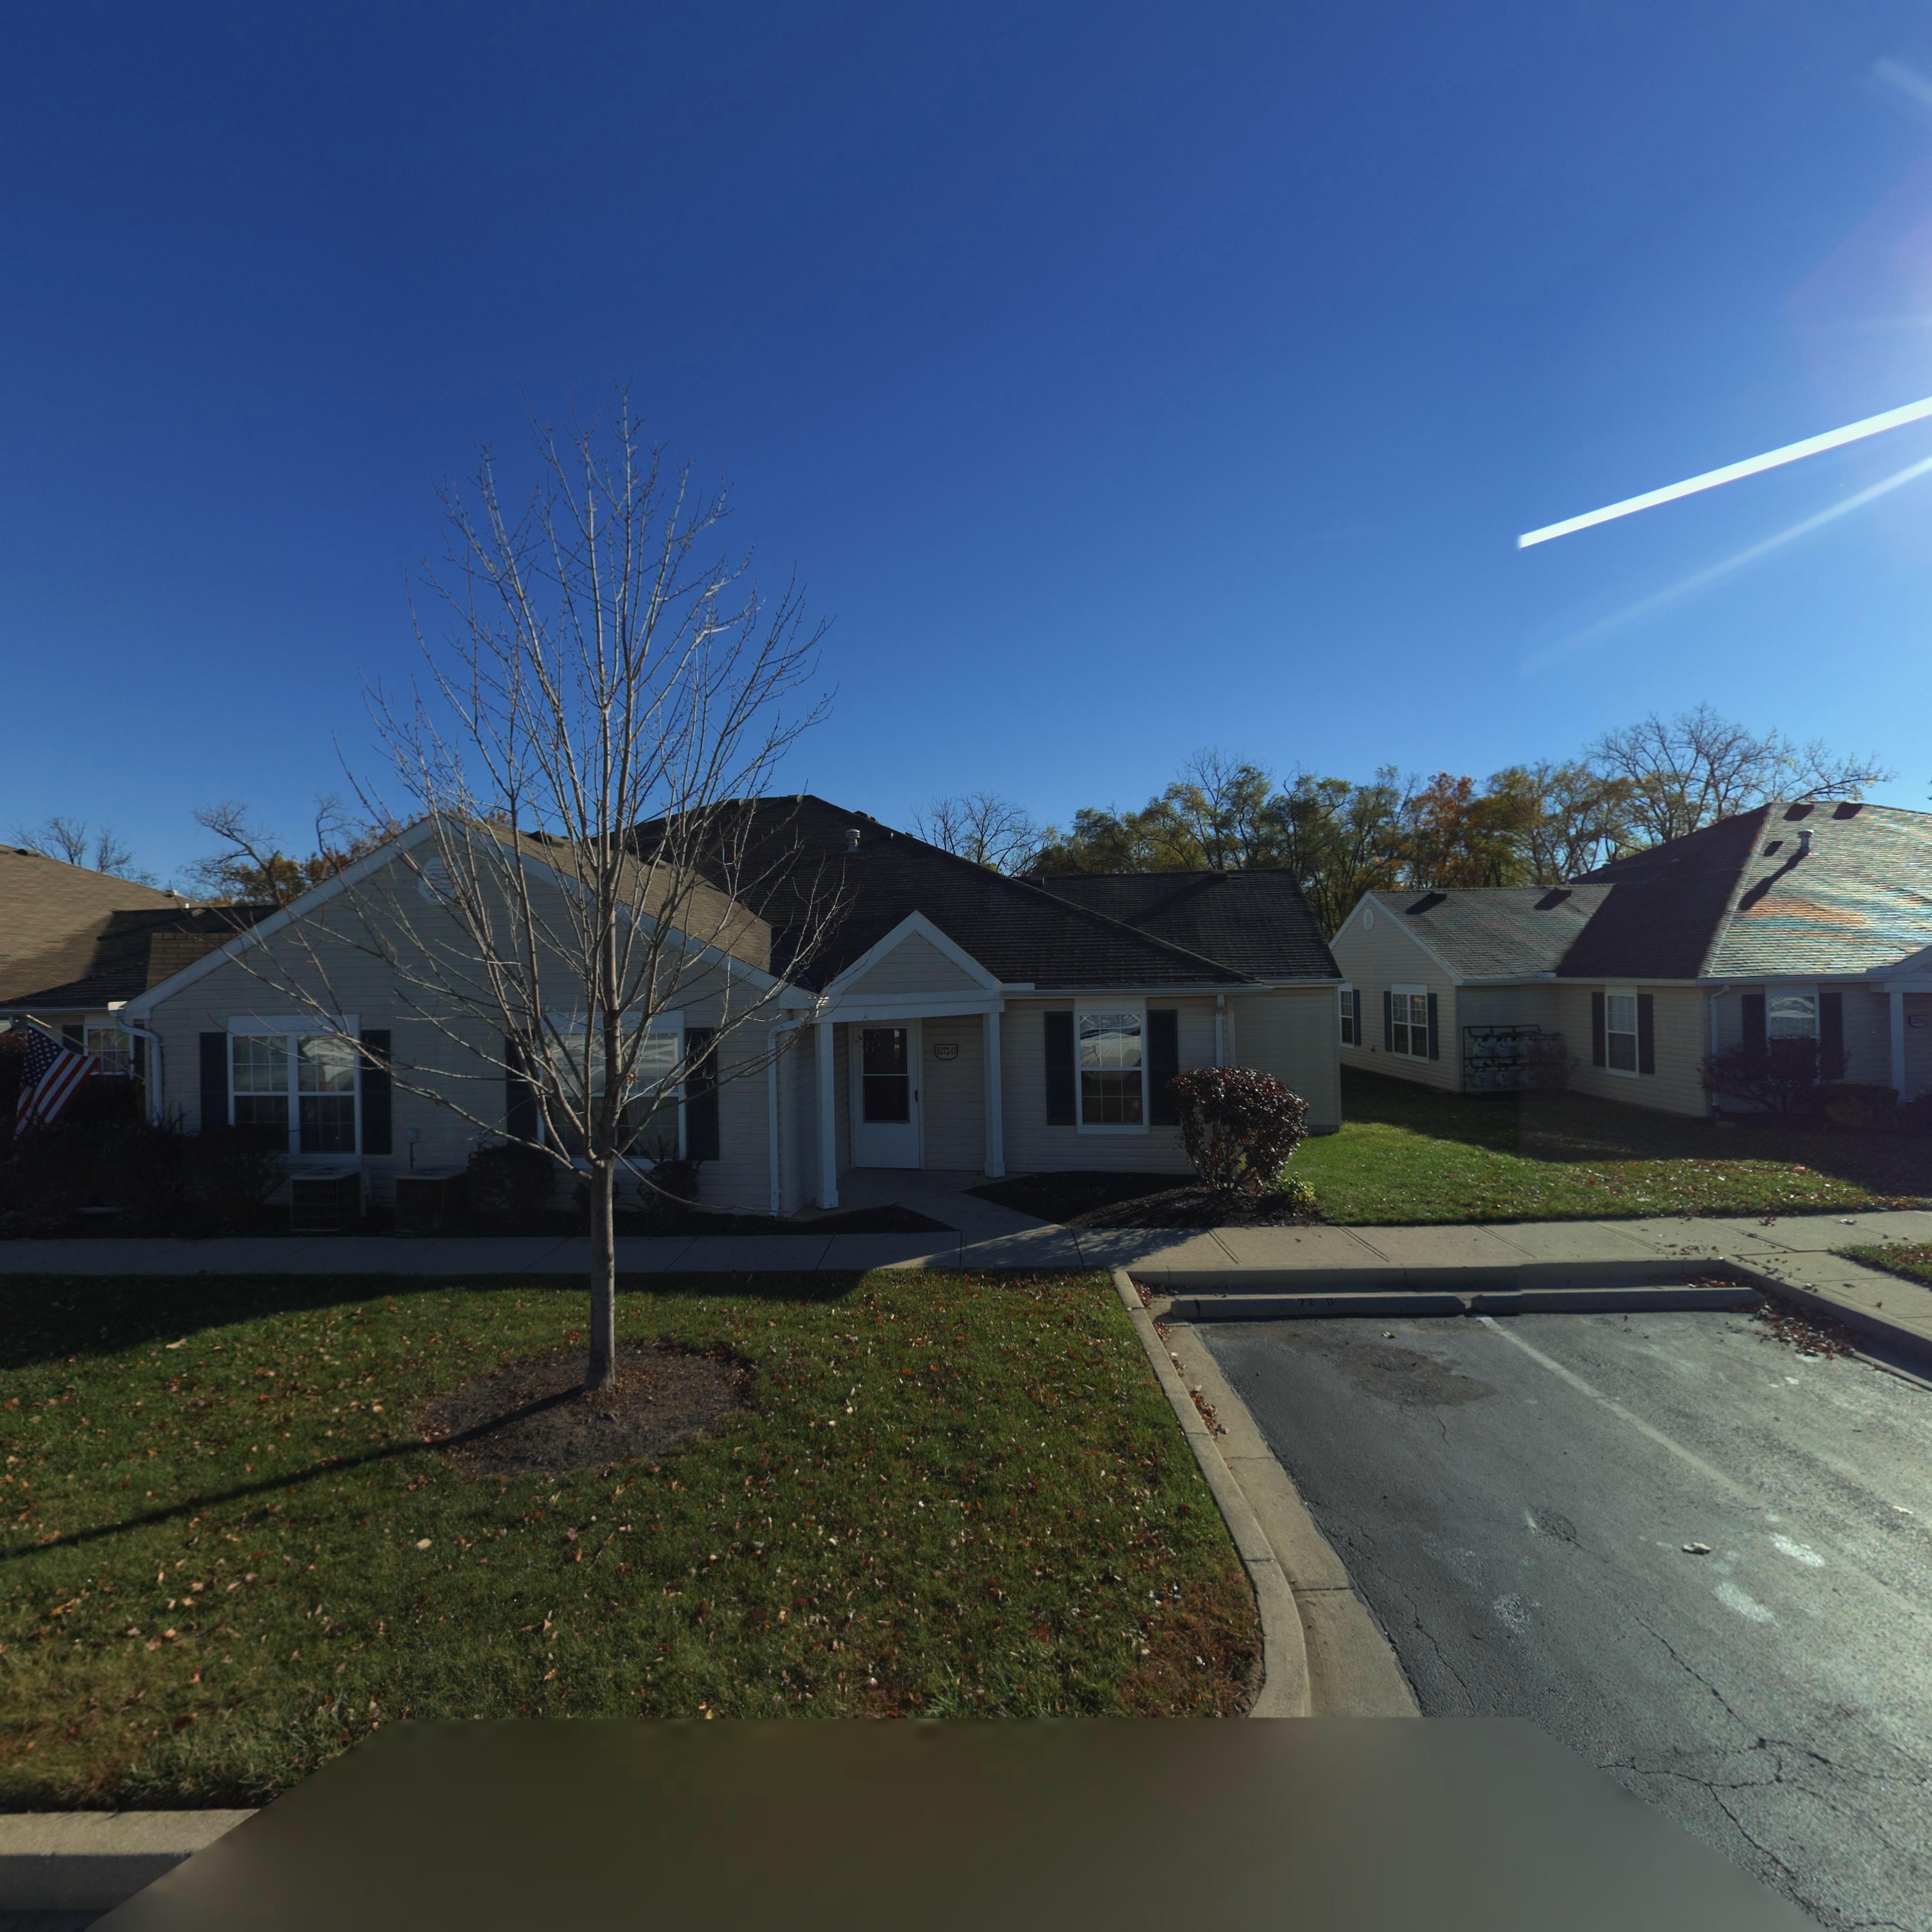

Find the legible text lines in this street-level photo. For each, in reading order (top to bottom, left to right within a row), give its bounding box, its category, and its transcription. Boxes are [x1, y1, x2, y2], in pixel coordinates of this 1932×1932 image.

[936, 1046, 956, 1055] StreetNumber: 5272-D